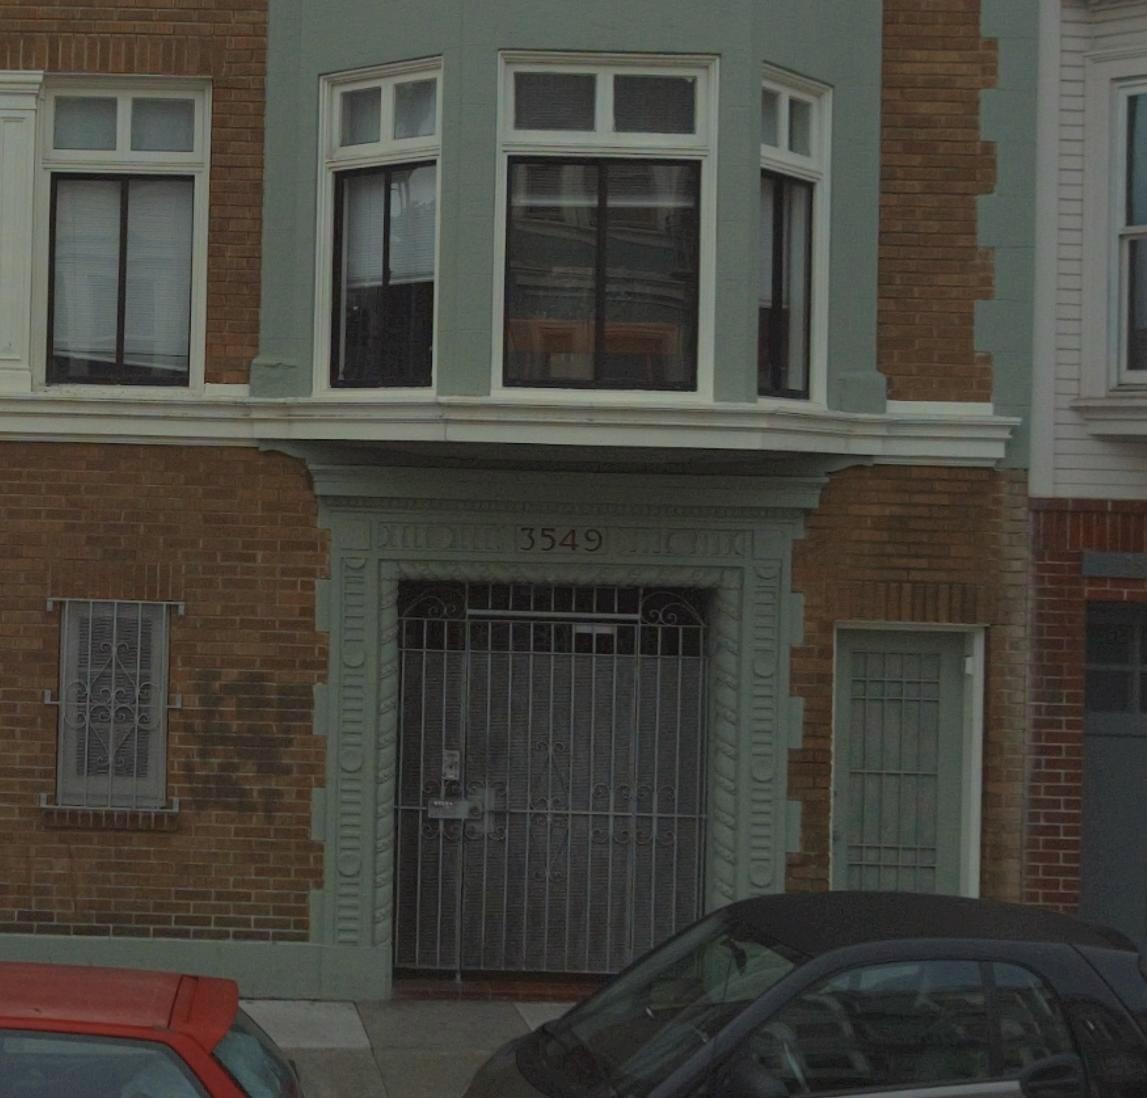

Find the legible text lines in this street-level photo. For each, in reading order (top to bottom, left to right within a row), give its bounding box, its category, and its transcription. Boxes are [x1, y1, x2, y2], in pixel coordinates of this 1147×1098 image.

[519, 525, 604, 553] StreetNumber: 3549